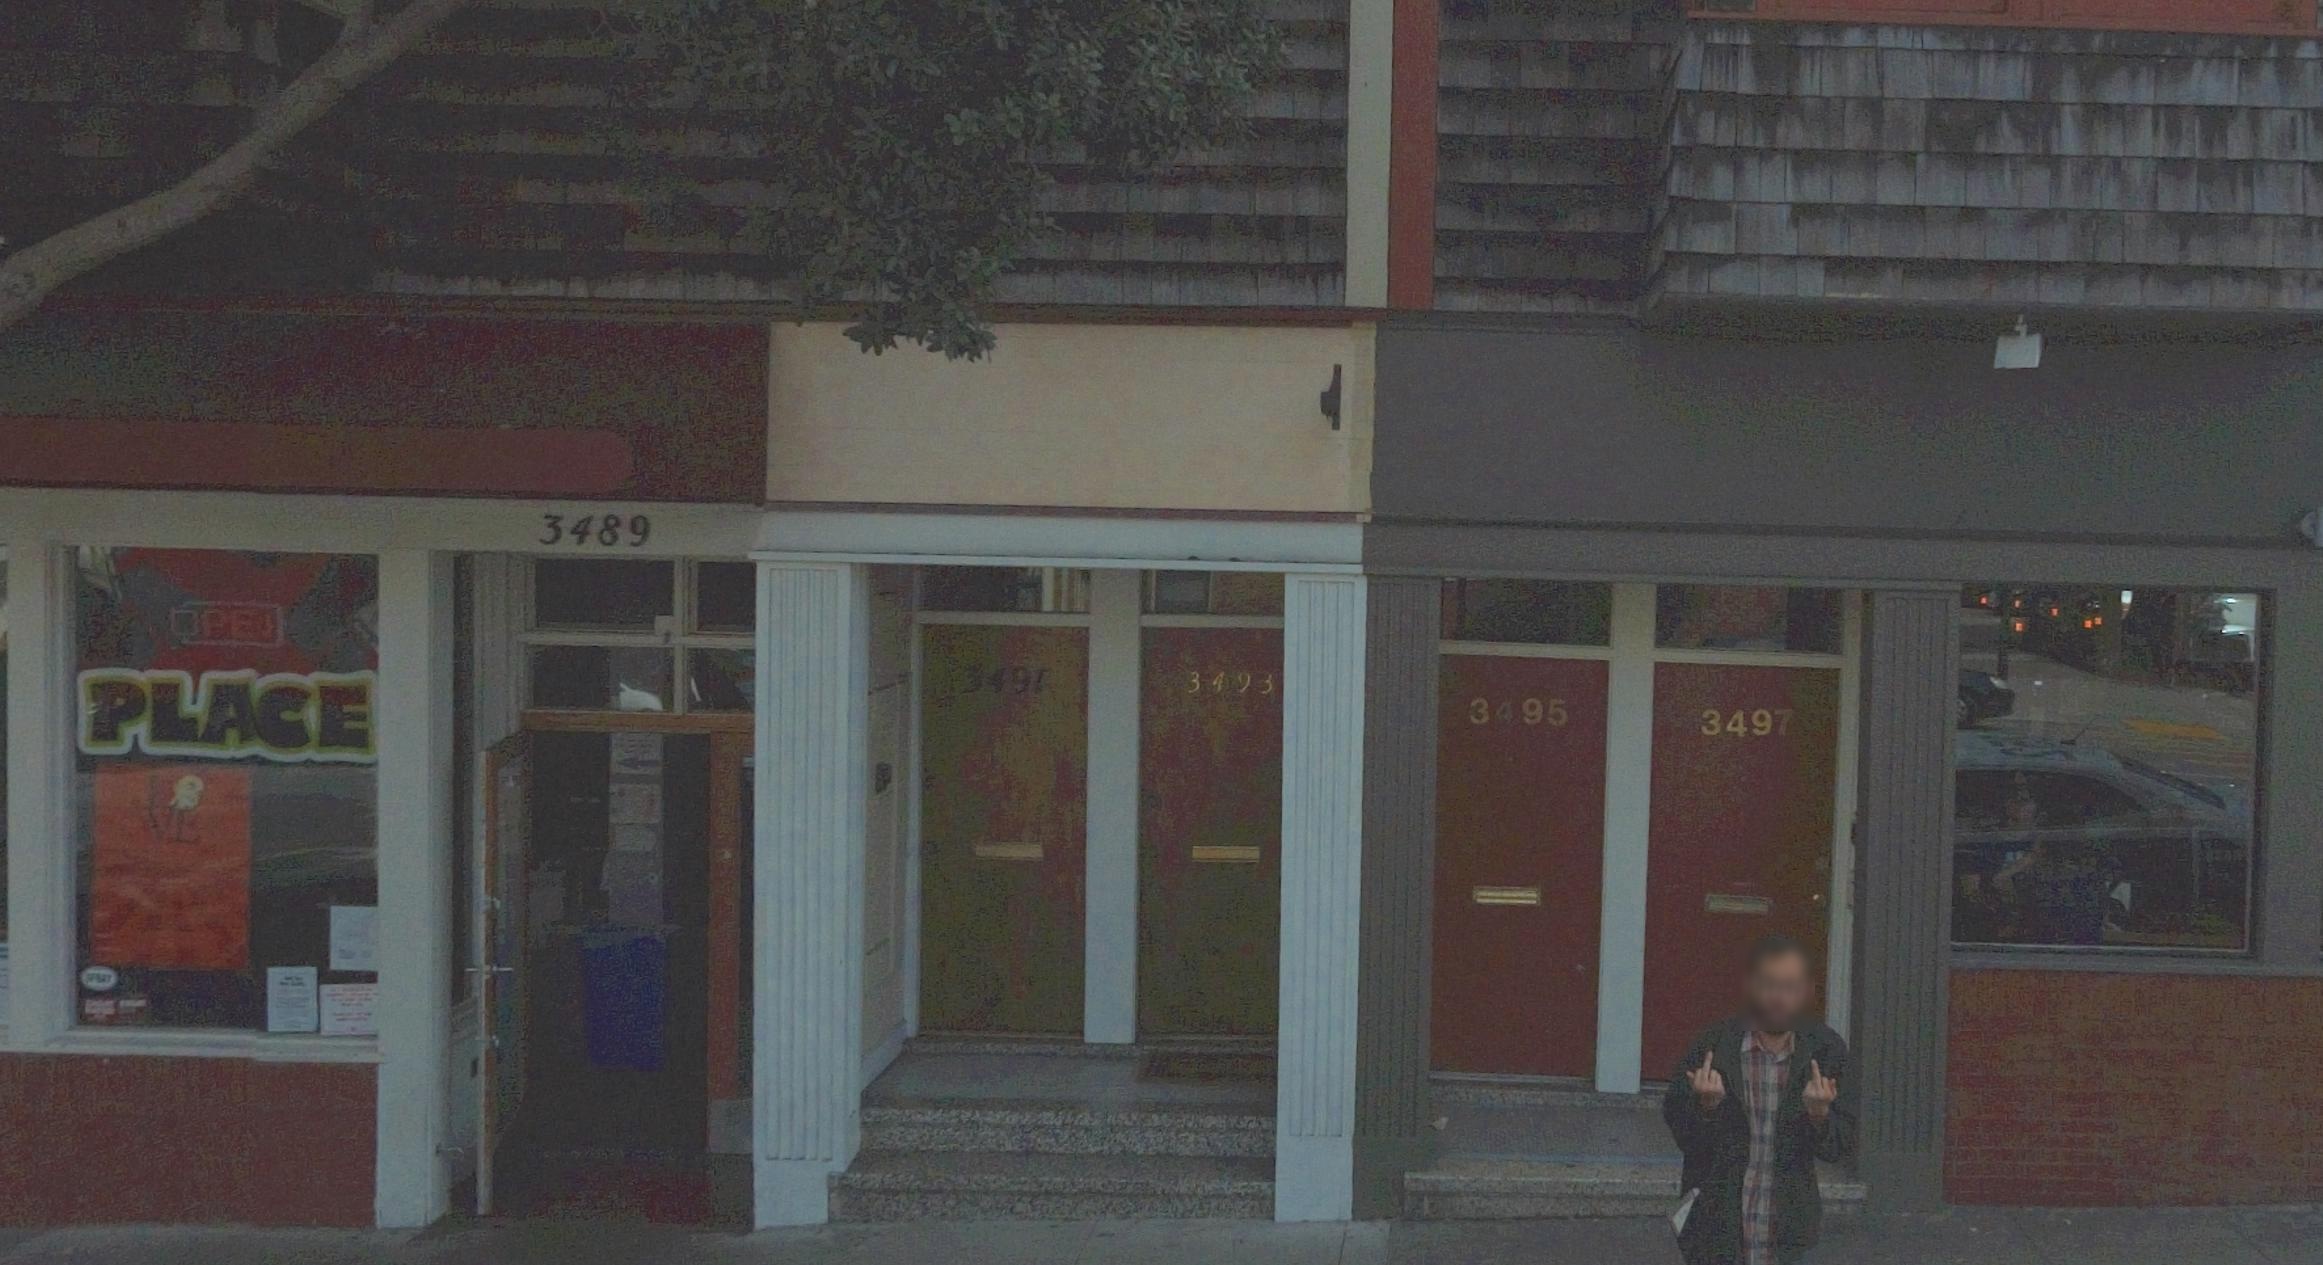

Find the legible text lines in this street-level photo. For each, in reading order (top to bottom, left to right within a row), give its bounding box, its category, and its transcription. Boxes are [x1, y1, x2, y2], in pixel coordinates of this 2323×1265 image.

[538, 511, 651, 548] StreetNumber: 3489
[169, 607, 280, 640] None: OPEN
[954, 661, 1049, 696] StreetNumber: 3491
[1185, 668, 1274, 697] StreetNumber: 3493
[71, 670, 376, 760] None: PLACE
[1468, 692, 1566, 730] StreetNumber: 3495
[1698, 706, 1799, 738] StreetNumber: 3497